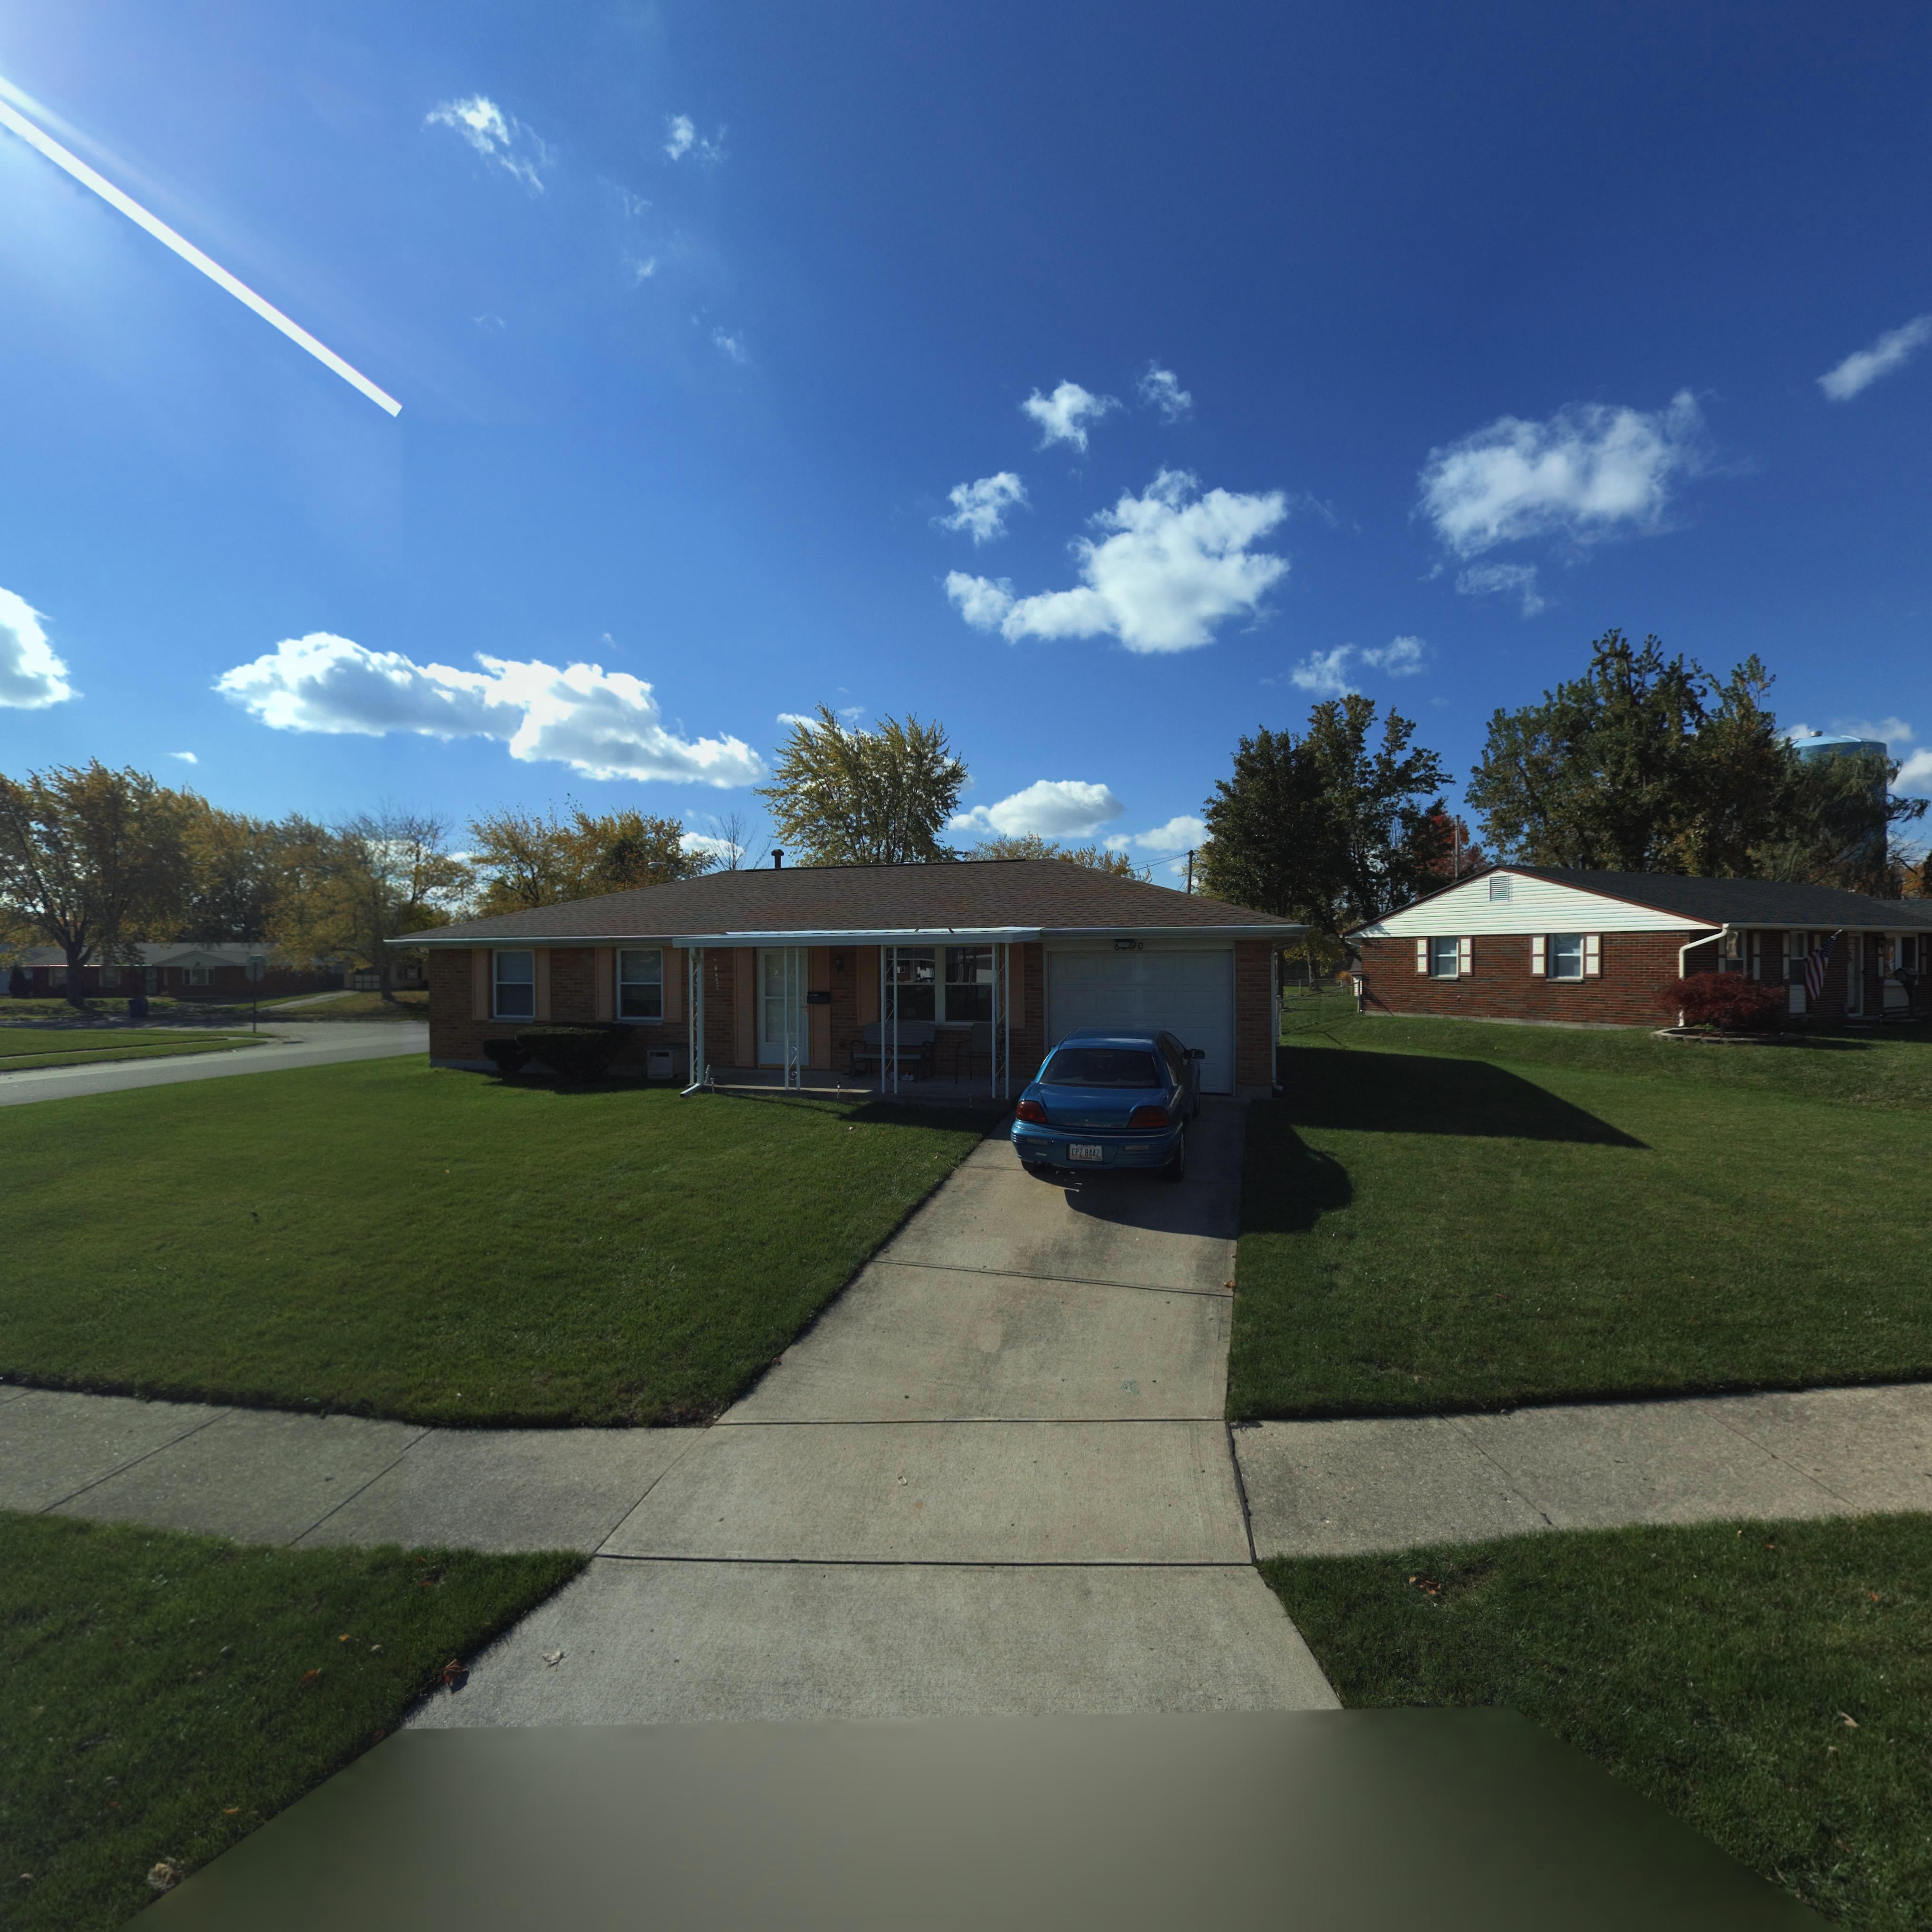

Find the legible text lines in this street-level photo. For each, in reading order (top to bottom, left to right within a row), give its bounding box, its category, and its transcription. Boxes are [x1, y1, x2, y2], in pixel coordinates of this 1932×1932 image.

[1138, 941, 1143, 950] StreetNumber: 0